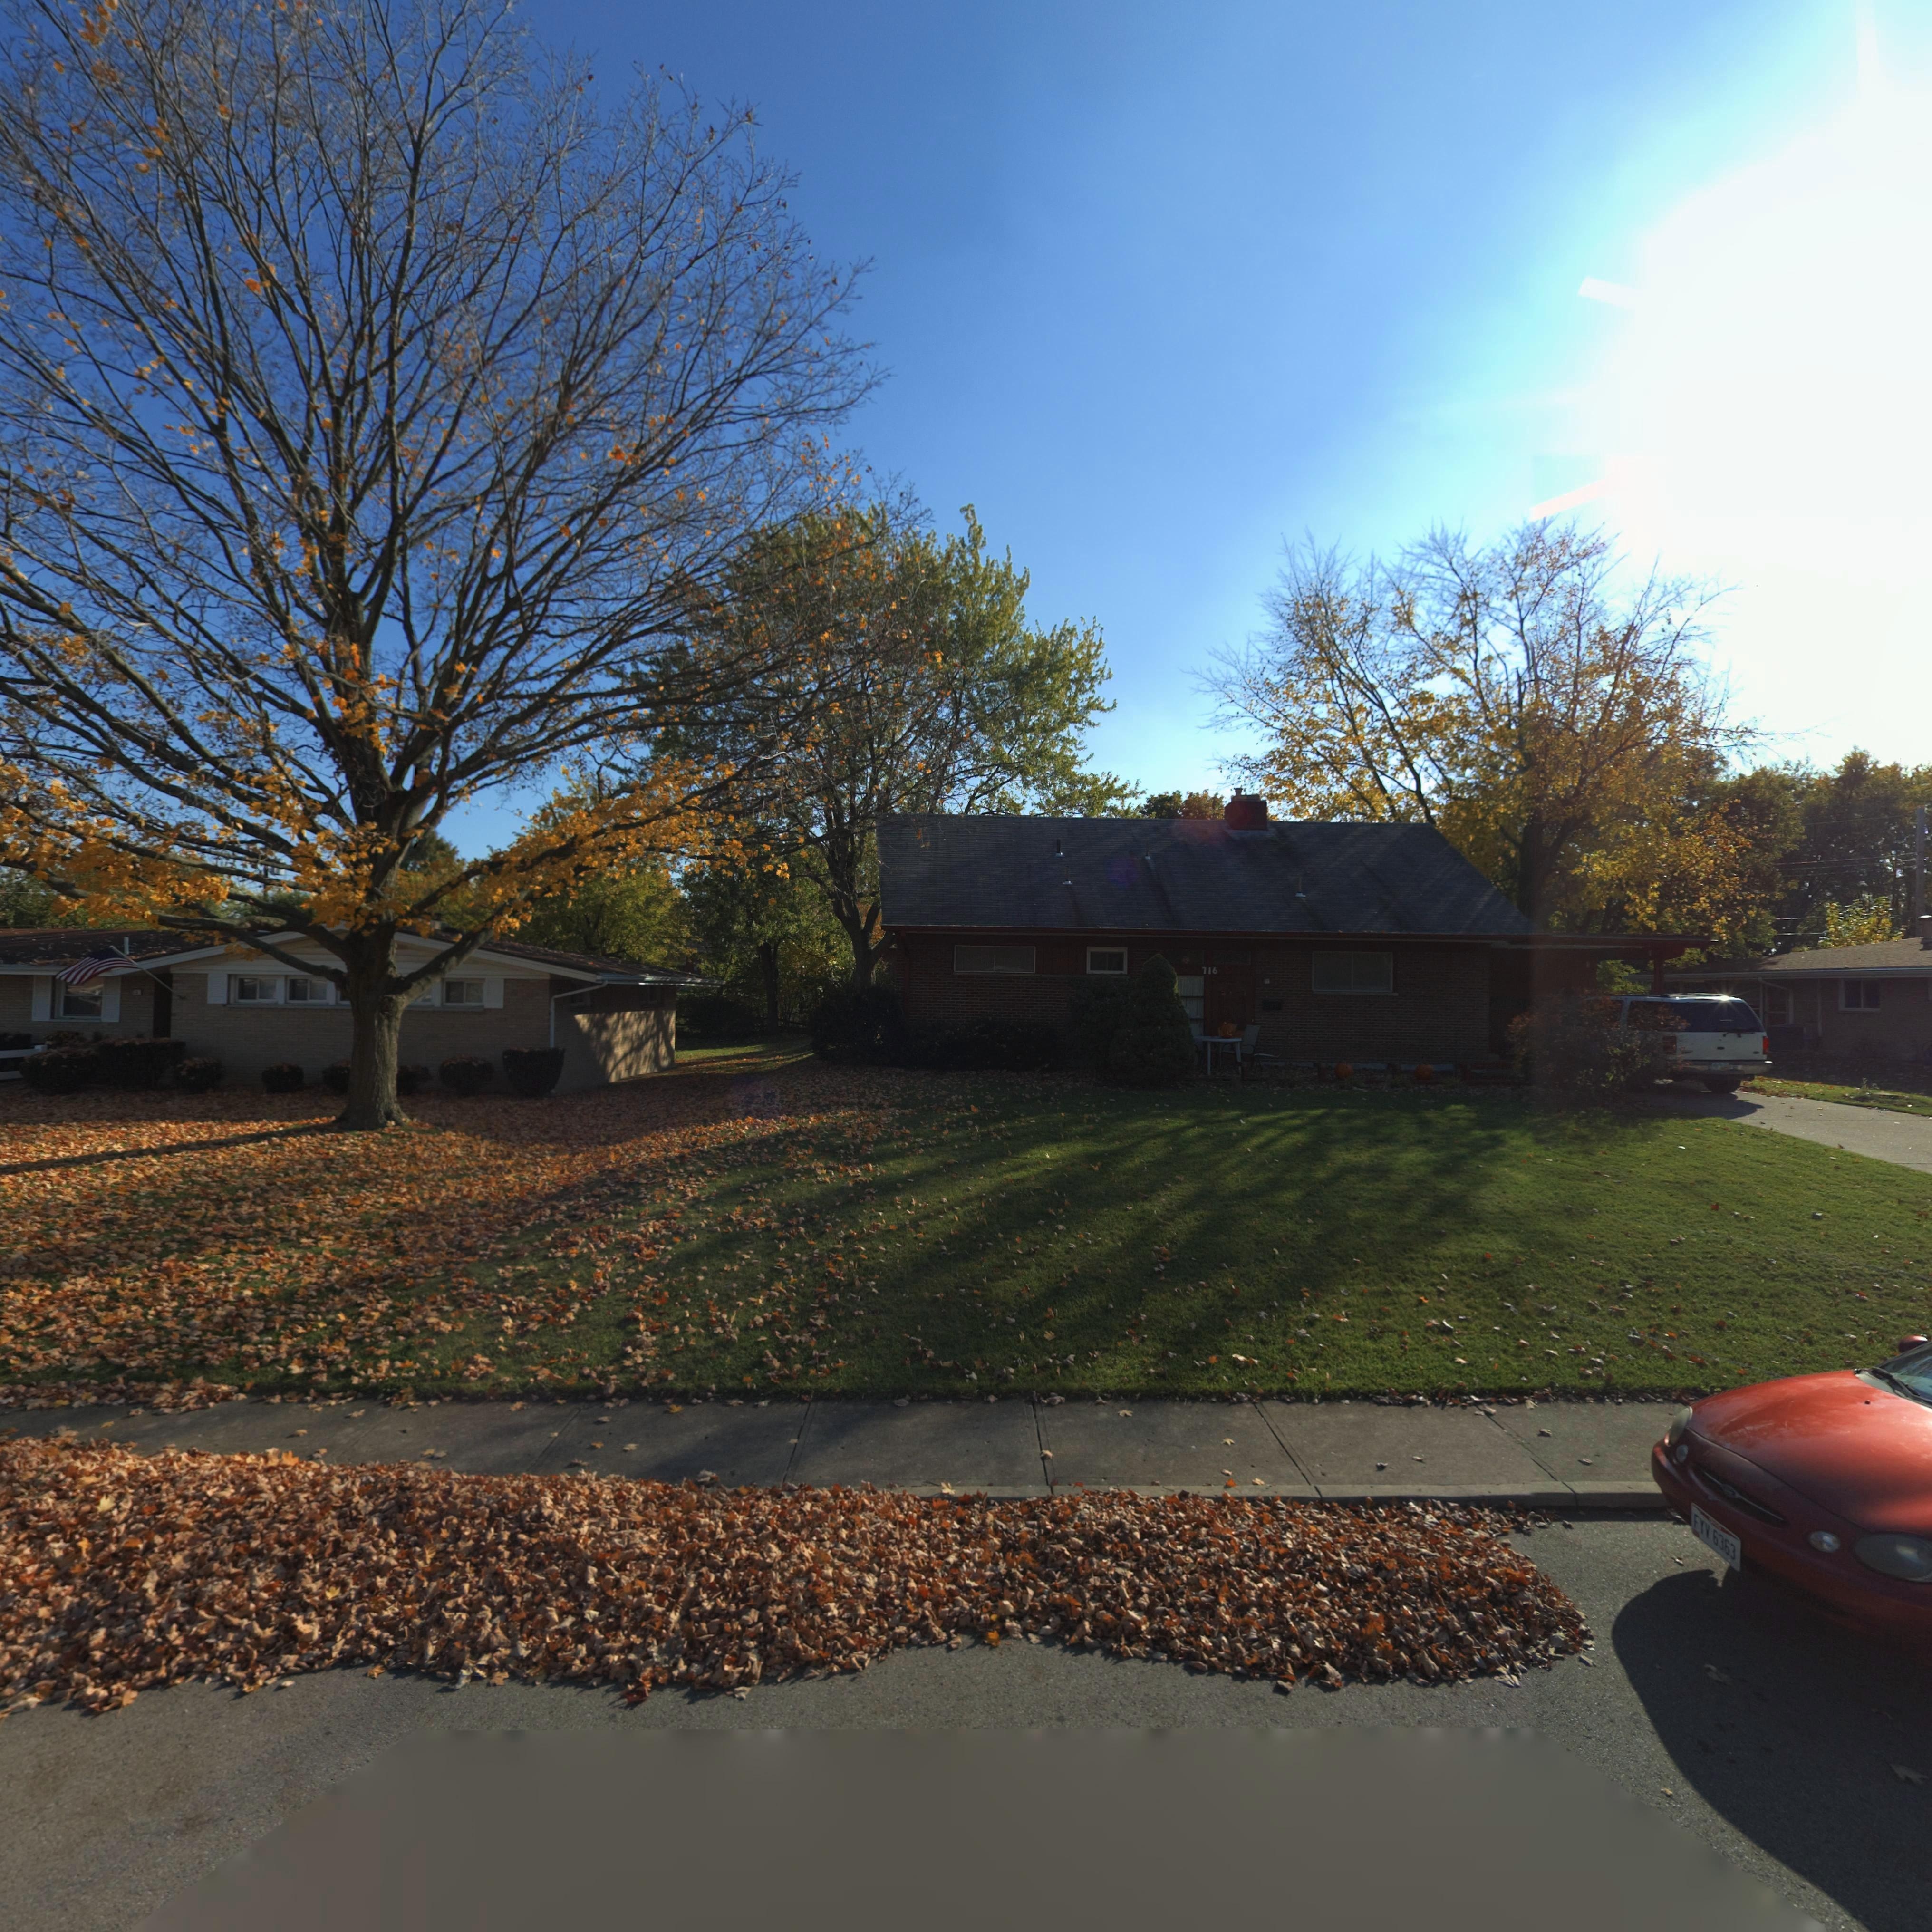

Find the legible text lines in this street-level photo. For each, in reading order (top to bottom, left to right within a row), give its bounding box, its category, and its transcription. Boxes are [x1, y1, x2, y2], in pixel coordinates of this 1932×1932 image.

[1202, 966, 1218, 975] StreetNumber: 716